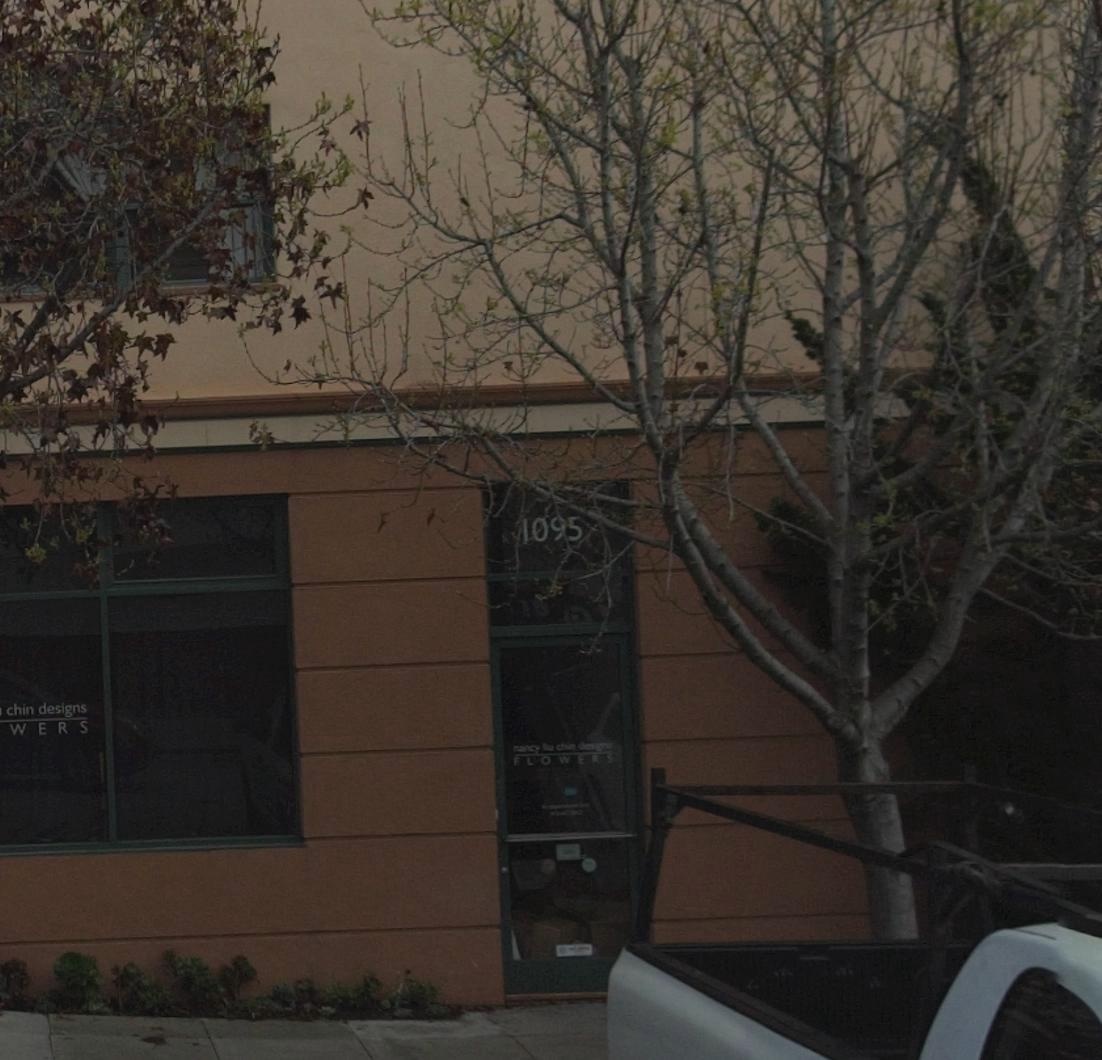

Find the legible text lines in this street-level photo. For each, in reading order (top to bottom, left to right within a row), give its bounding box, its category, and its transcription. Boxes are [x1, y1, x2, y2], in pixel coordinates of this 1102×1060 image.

[522, 514, 586, 545] StreetNumber: 1095
[2, 698, 90, 720] None: chin designs
[6, 718, 97, 739] None: WERS
[541, 741, 613, 752] None: by chin designs
[512, 753, 615, 768] None: FLOWERS